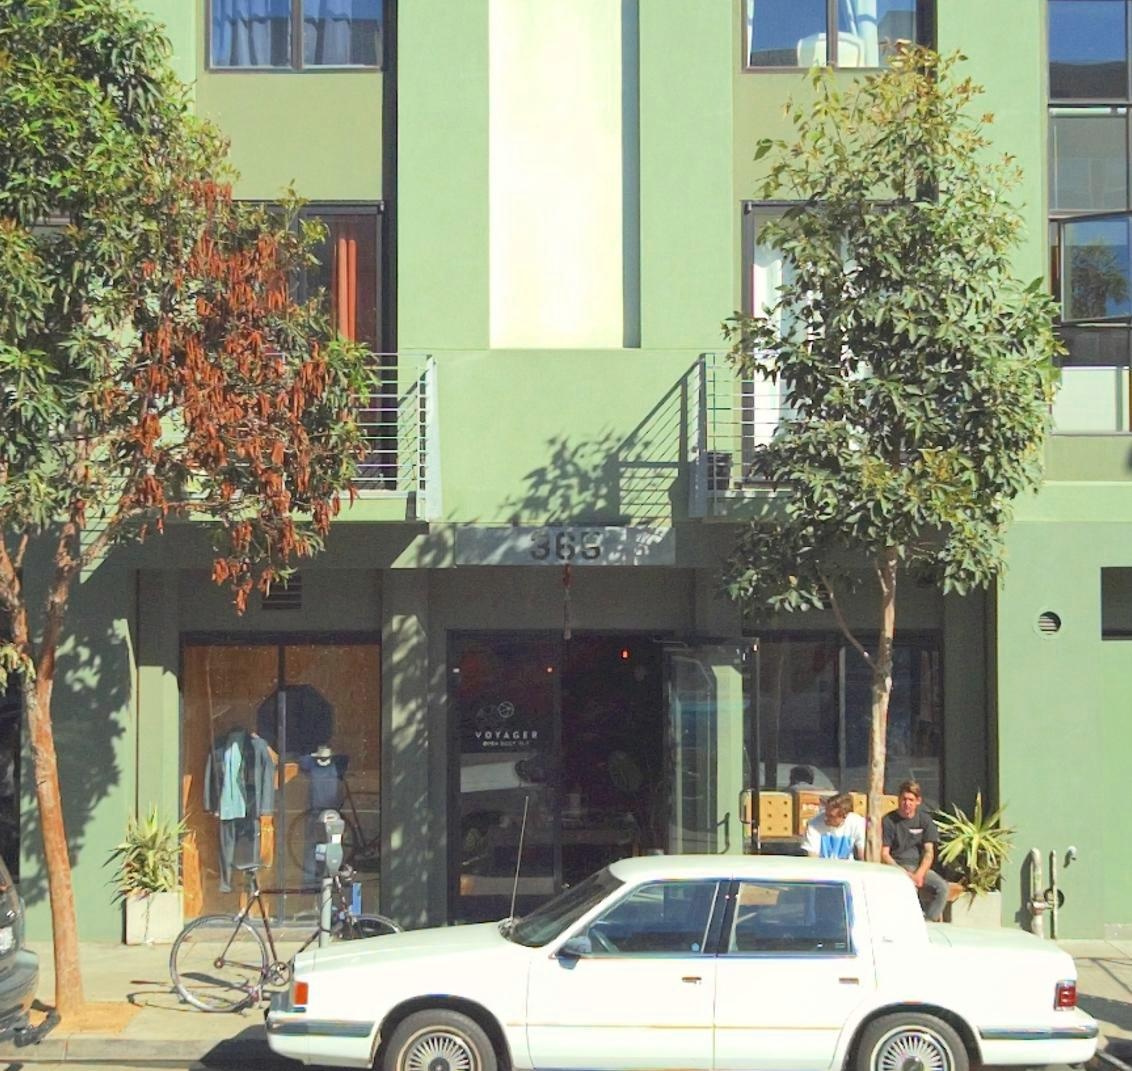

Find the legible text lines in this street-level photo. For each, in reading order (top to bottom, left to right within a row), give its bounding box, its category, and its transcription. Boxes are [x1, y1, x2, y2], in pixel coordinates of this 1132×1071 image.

[529, 530, 603, 562] StreetNumber: 365
[473, 730, 540, 740] BusinessName: VOYAGER